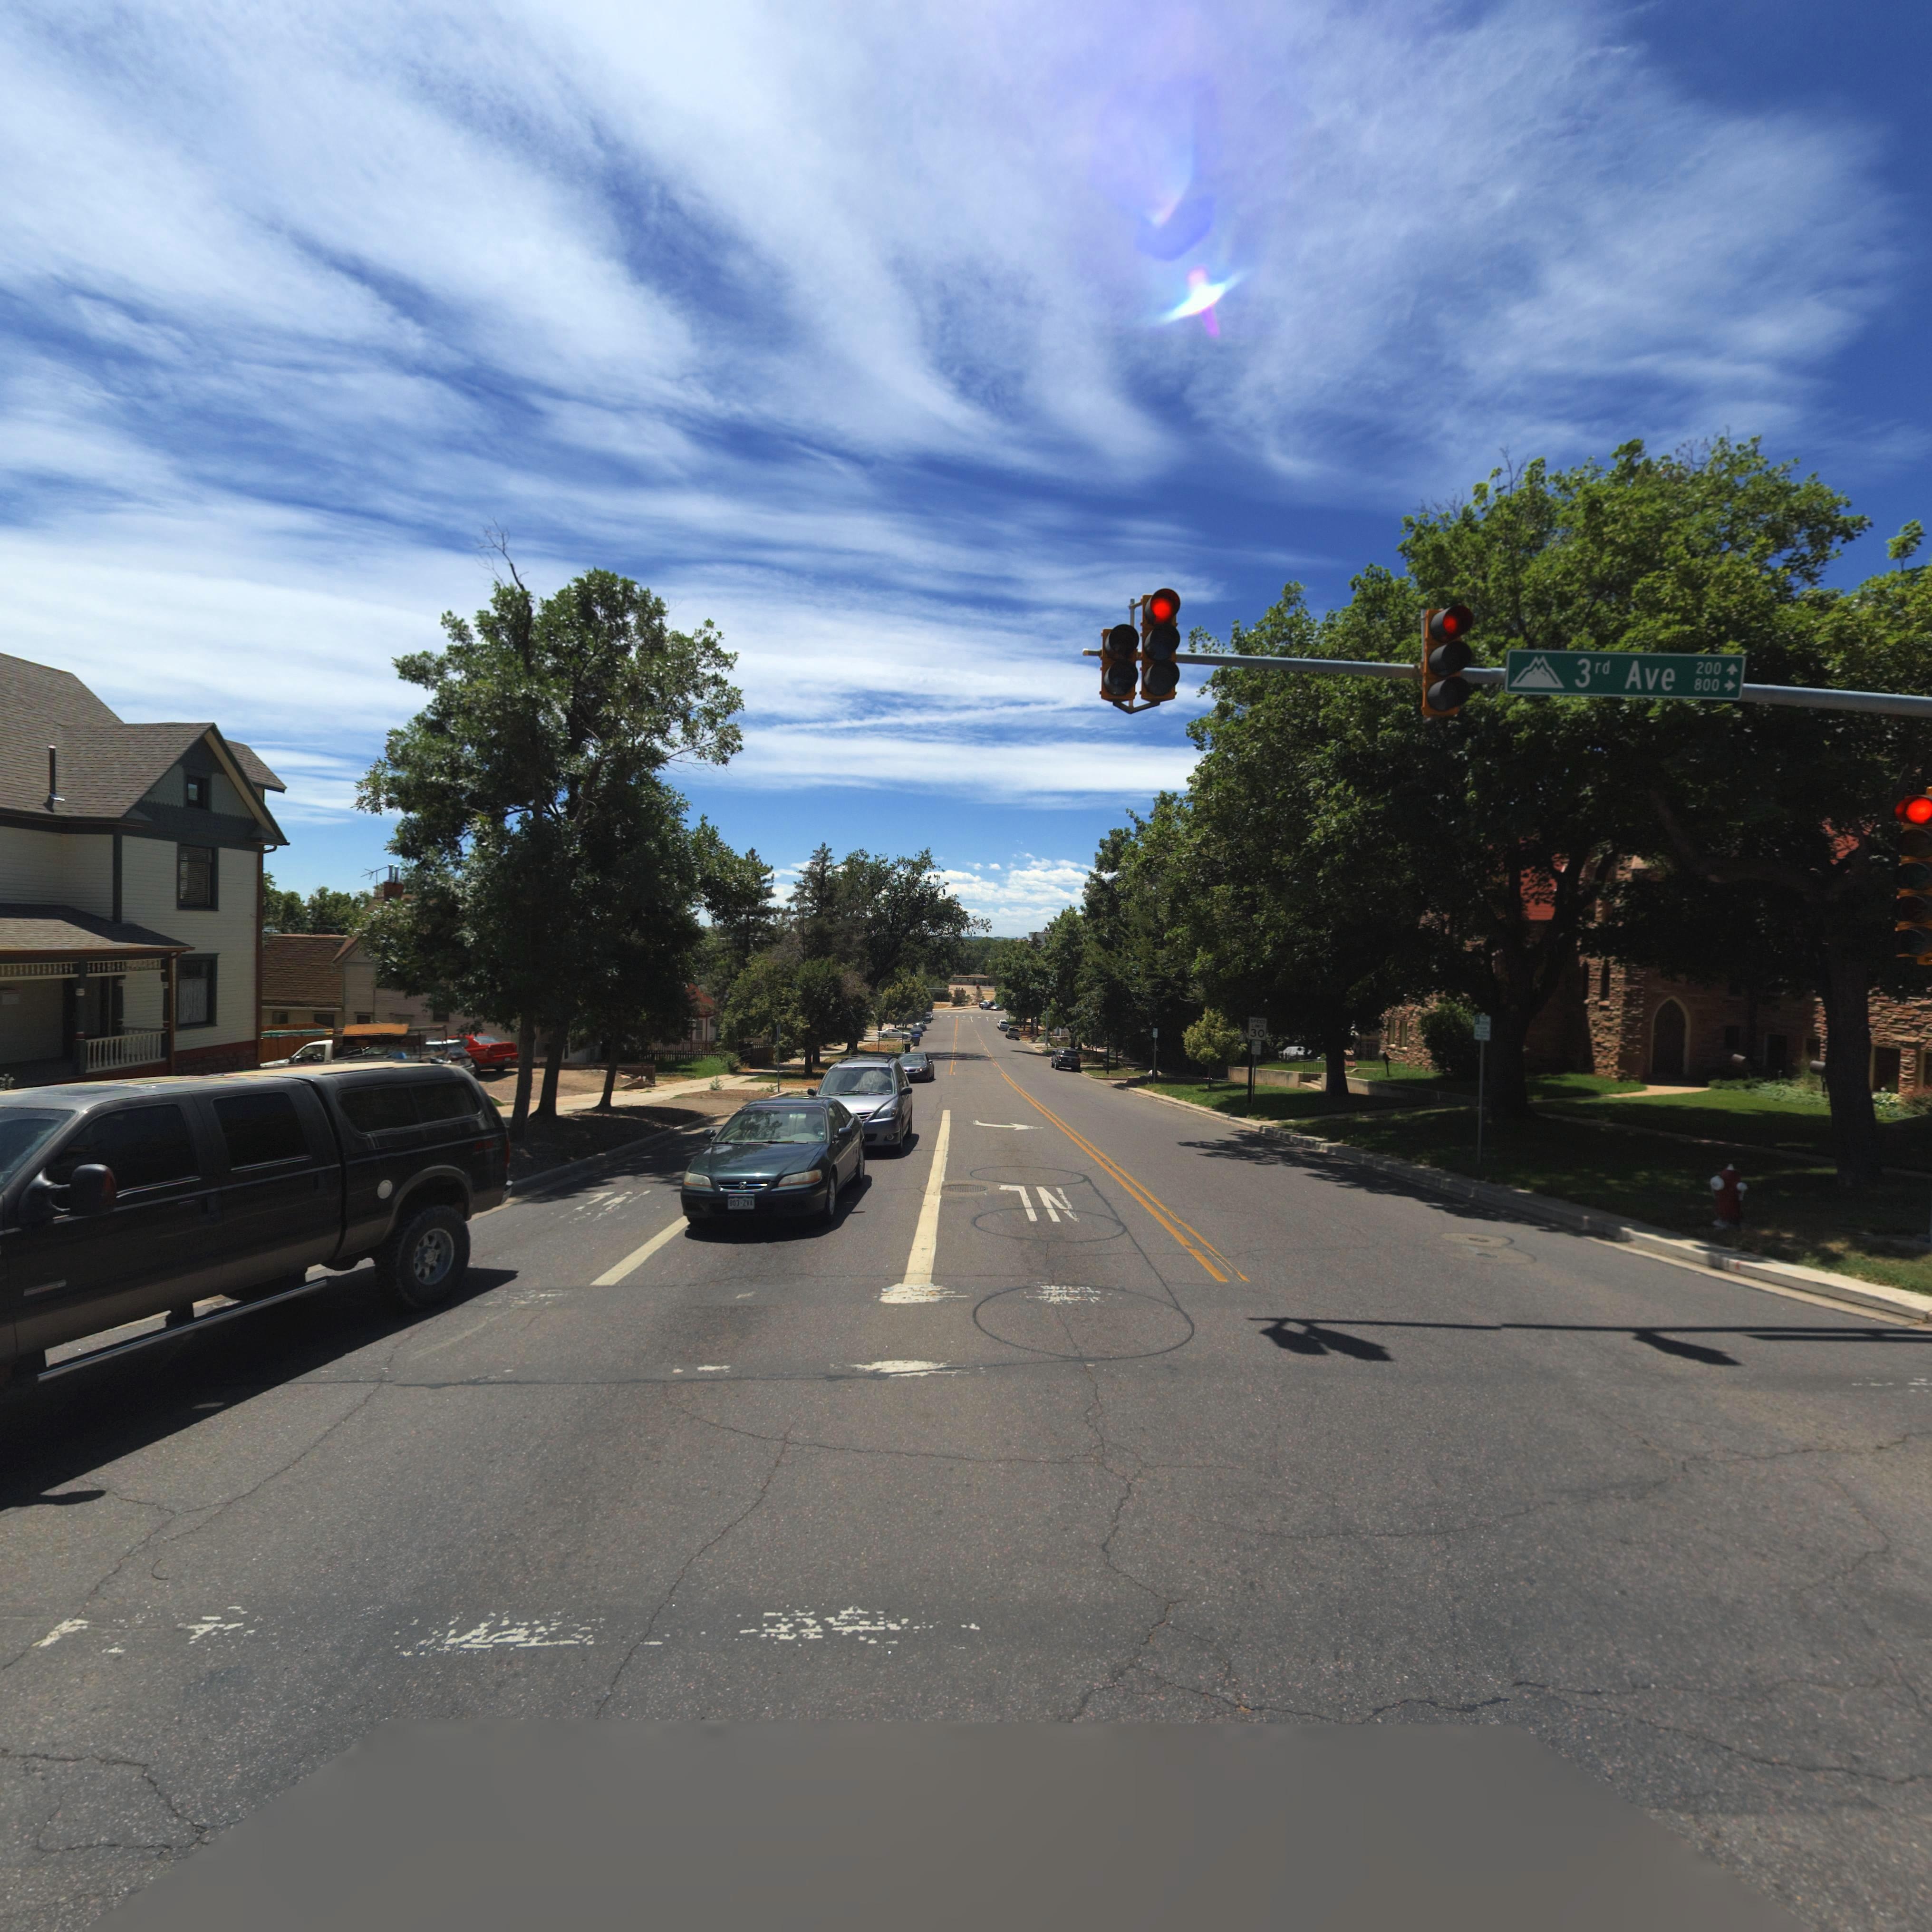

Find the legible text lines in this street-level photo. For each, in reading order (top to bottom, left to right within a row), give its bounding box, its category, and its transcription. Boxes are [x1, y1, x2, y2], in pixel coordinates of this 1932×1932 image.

[1575, 657, 1675, 691] StreetName: 3rd Ave
[1696, 661, 1721, 674] StreetNumberRange: 200
[1693, 677, 1736, 691] StreetNumberRange: 800->